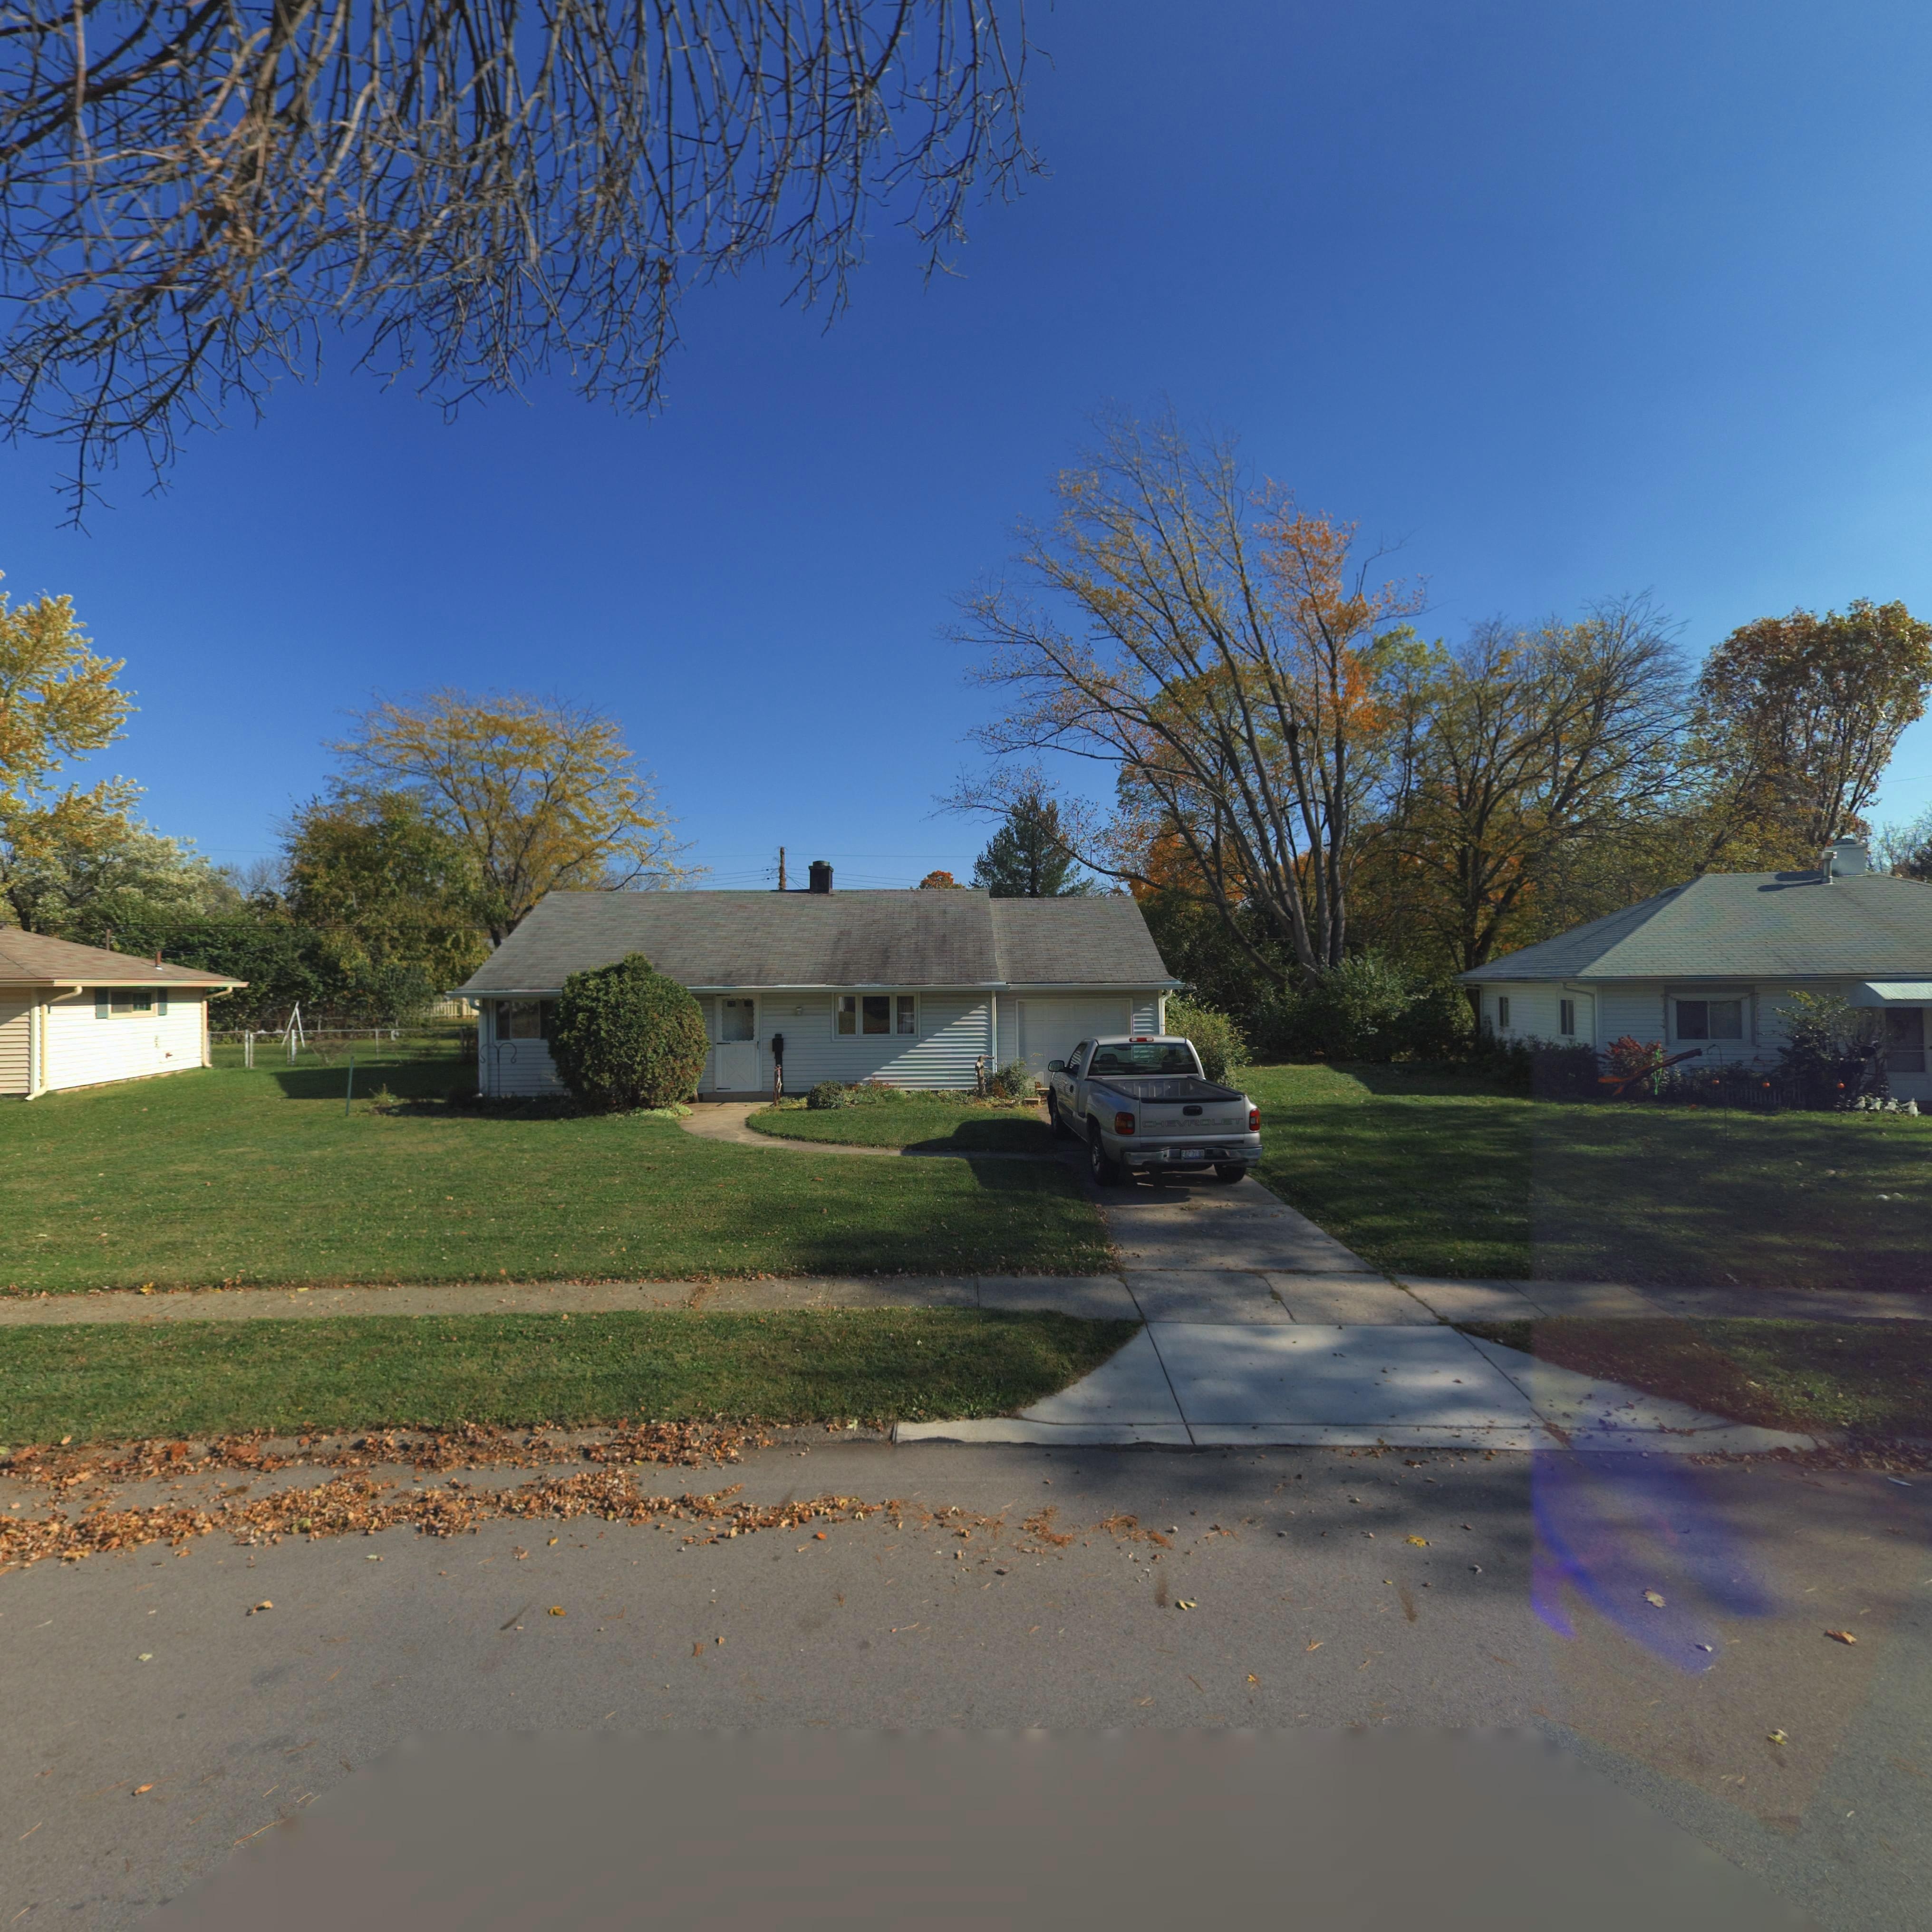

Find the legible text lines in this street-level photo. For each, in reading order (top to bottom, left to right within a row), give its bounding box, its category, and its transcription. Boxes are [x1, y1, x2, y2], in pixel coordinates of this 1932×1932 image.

[1141, 1117, 1244, 1128] None: CHEVROLET
[1181, 1150, 1204, 1158] None: EOZ 7130